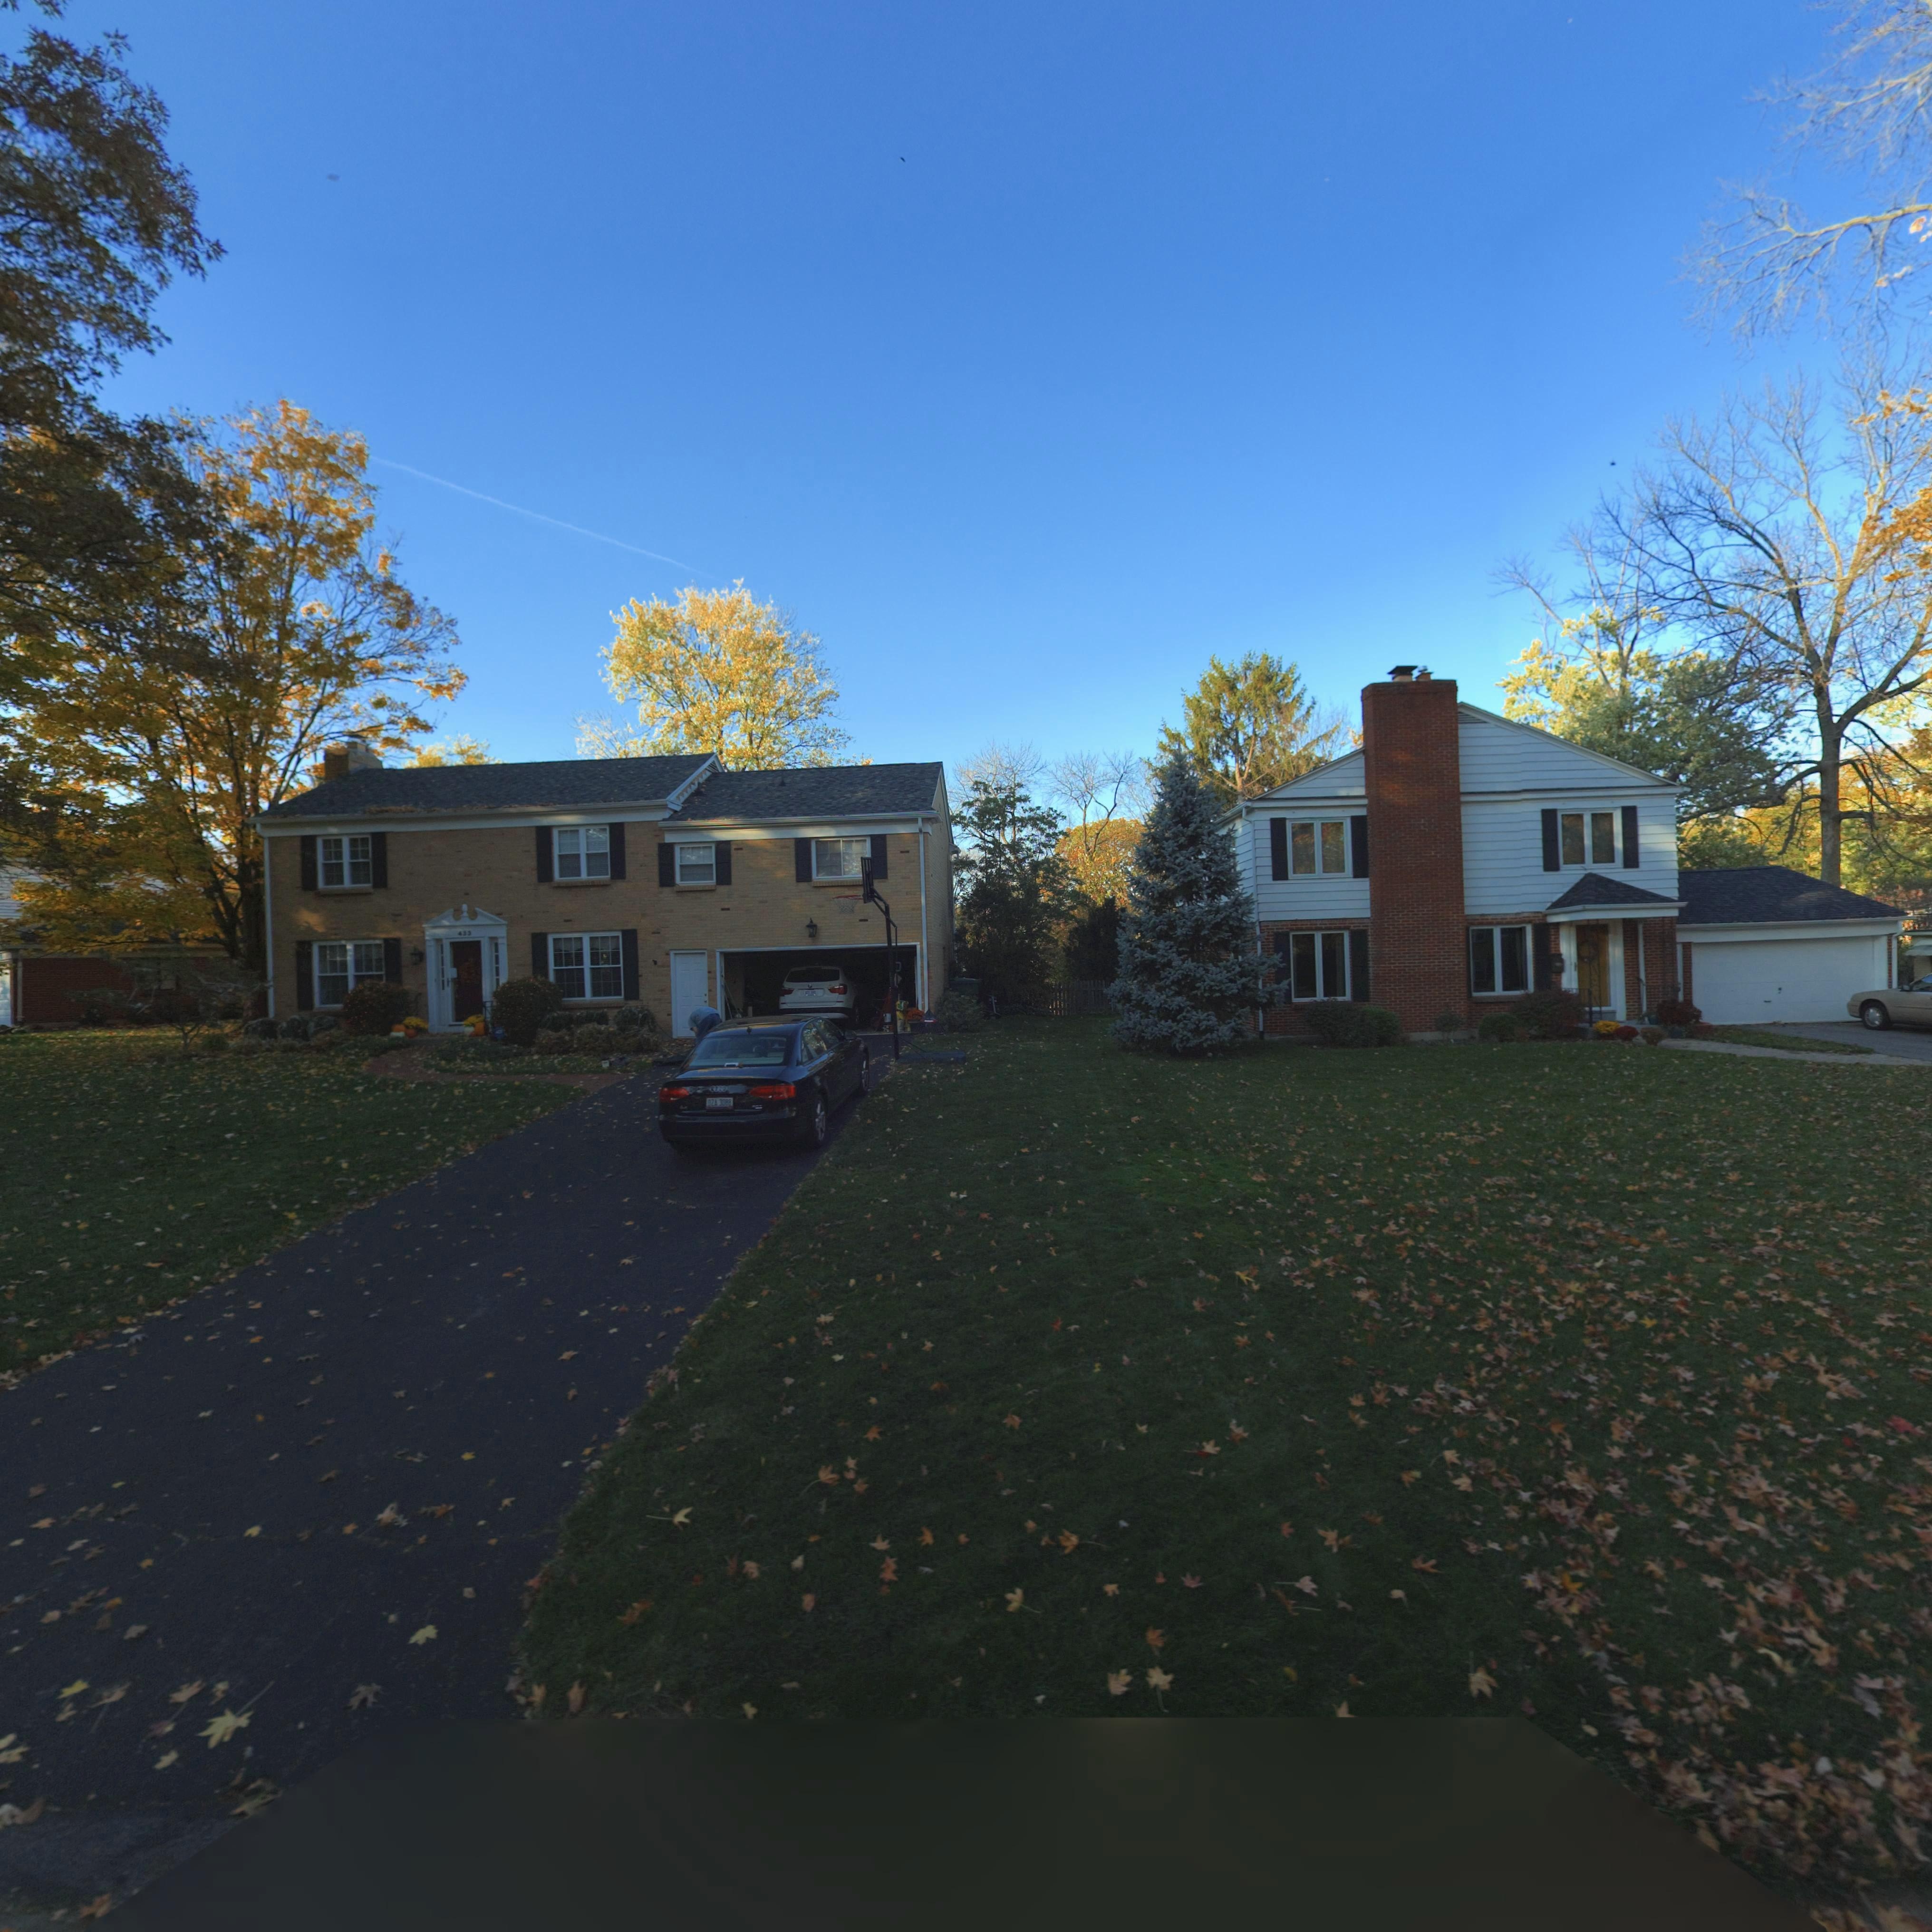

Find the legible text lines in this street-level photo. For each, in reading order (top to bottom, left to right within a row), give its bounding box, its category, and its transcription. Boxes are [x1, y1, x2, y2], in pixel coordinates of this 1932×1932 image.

[456, 929, 473, 937] StreetNumber: 433